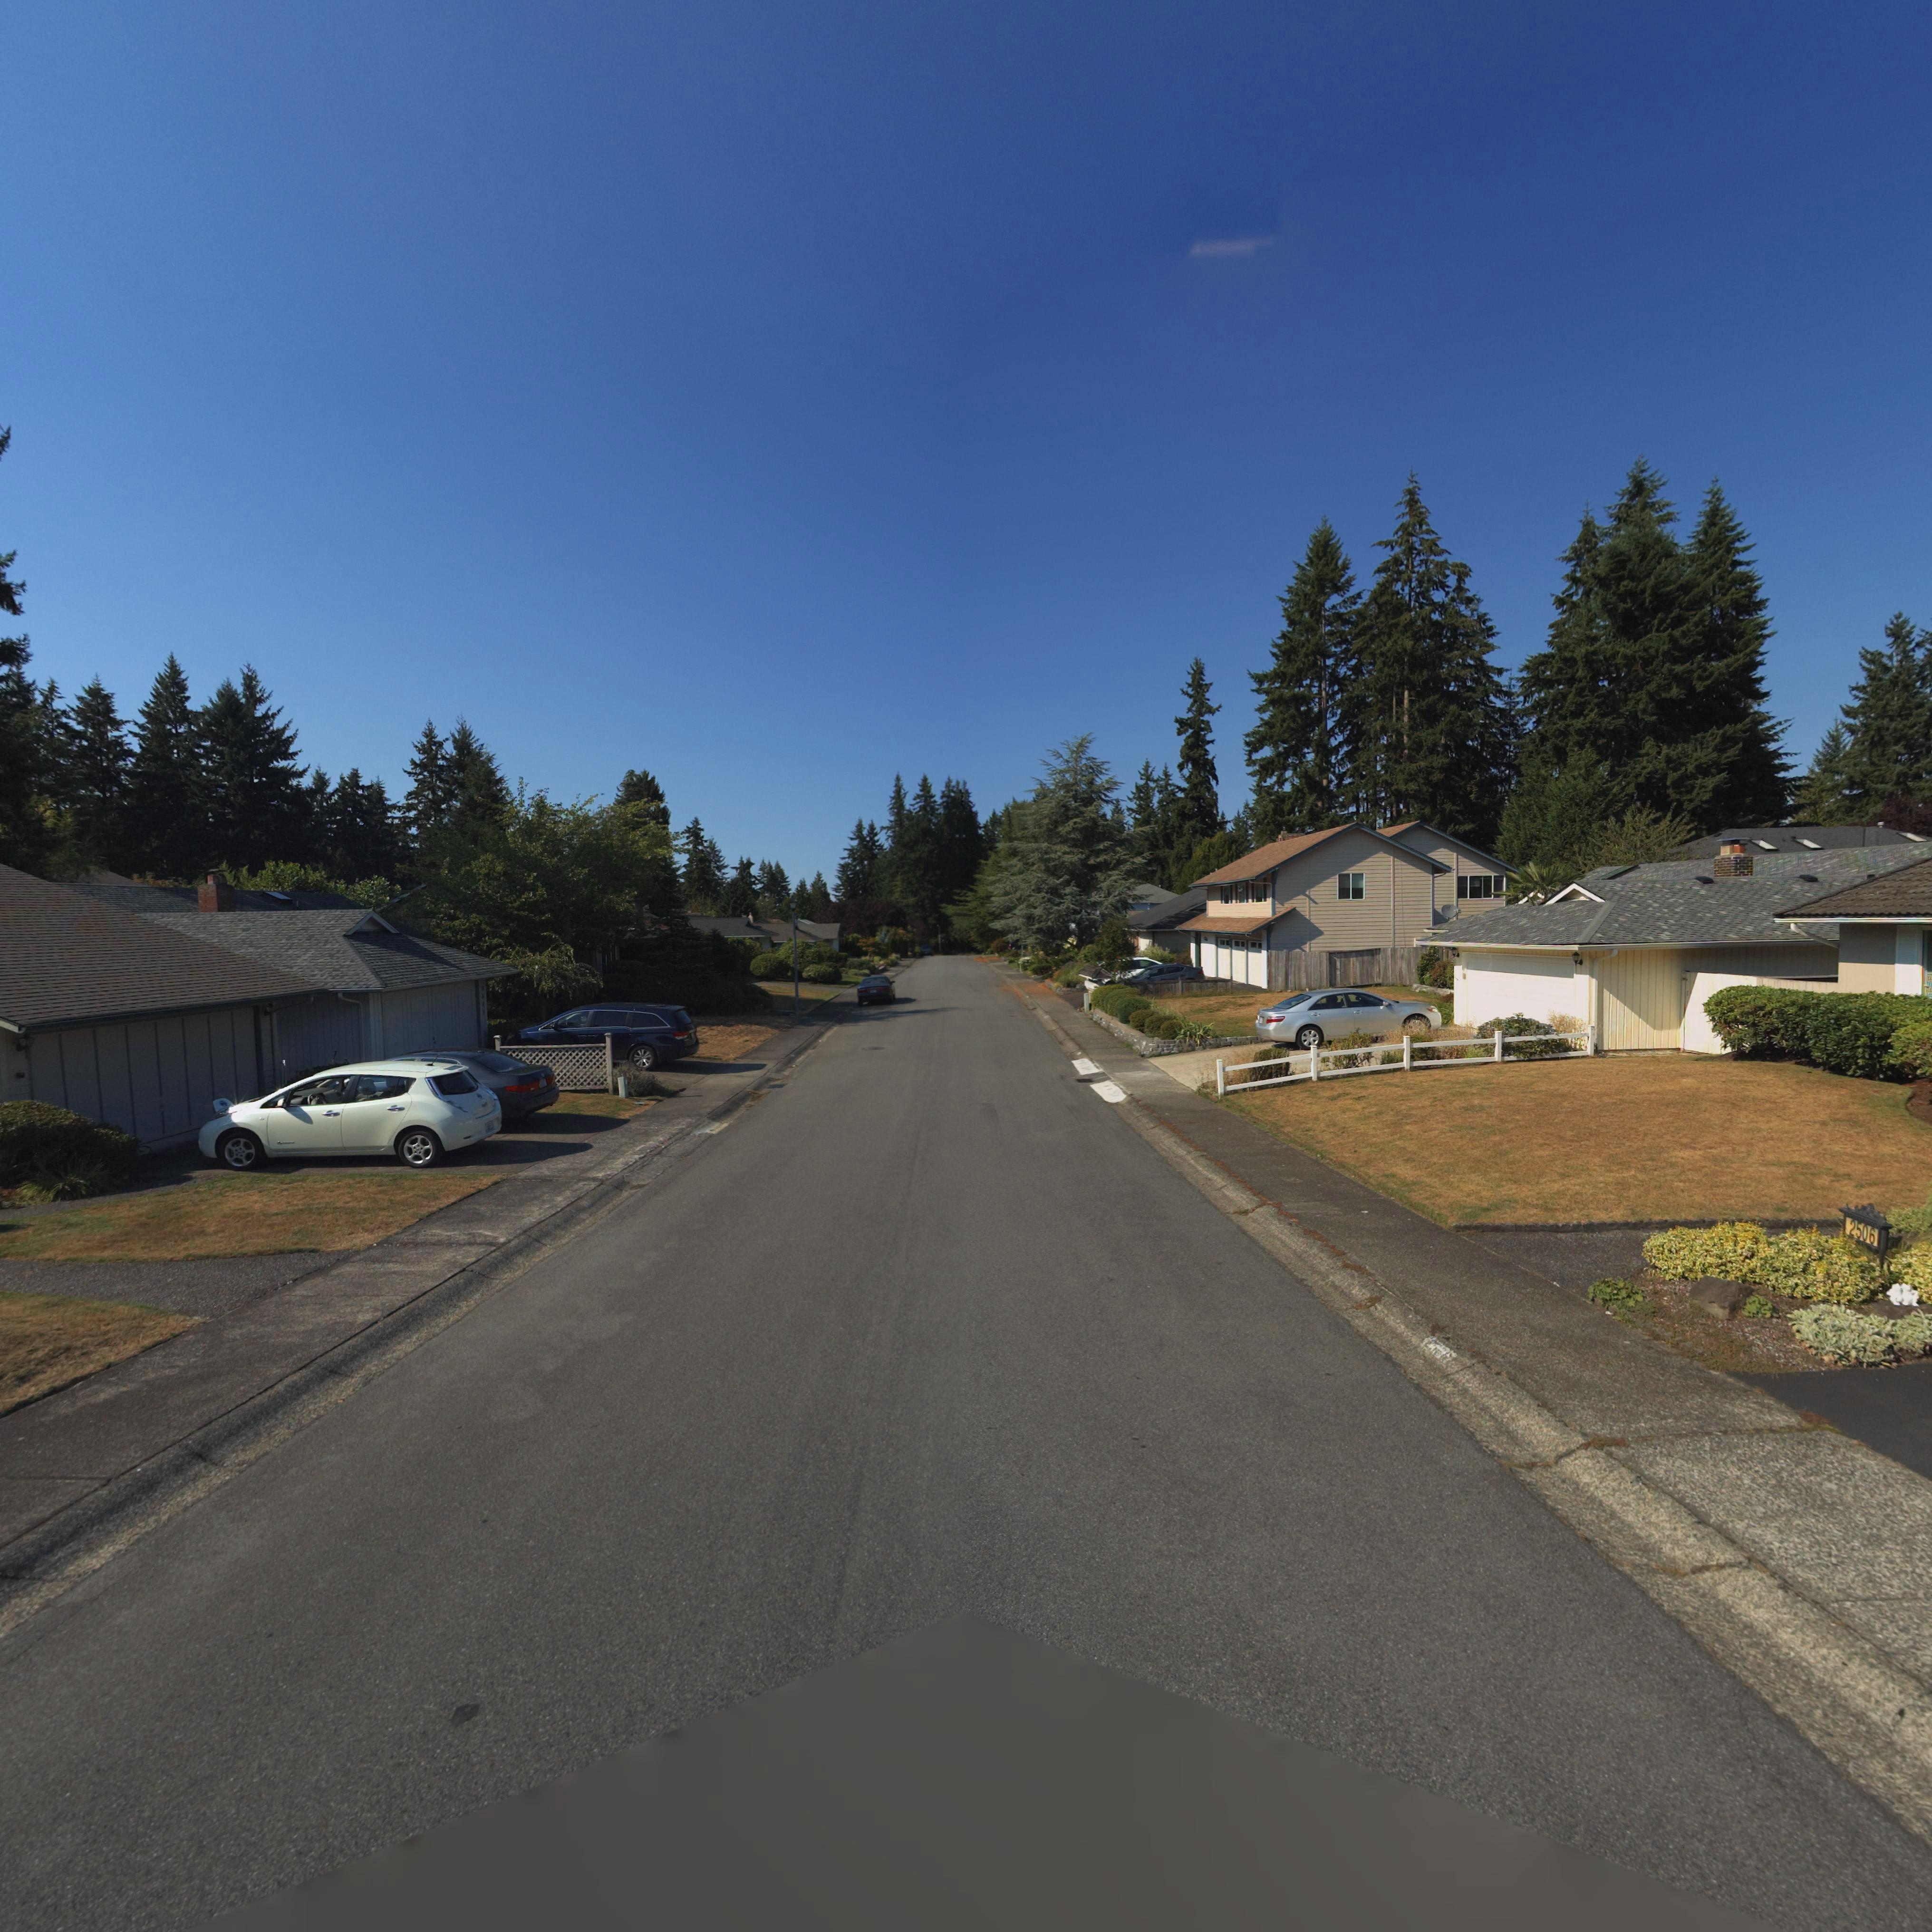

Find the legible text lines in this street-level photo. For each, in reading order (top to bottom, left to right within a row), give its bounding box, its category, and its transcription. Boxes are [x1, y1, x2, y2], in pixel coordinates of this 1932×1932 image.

[1847, 1218, 1876, 1245] StreetNumber: 2506